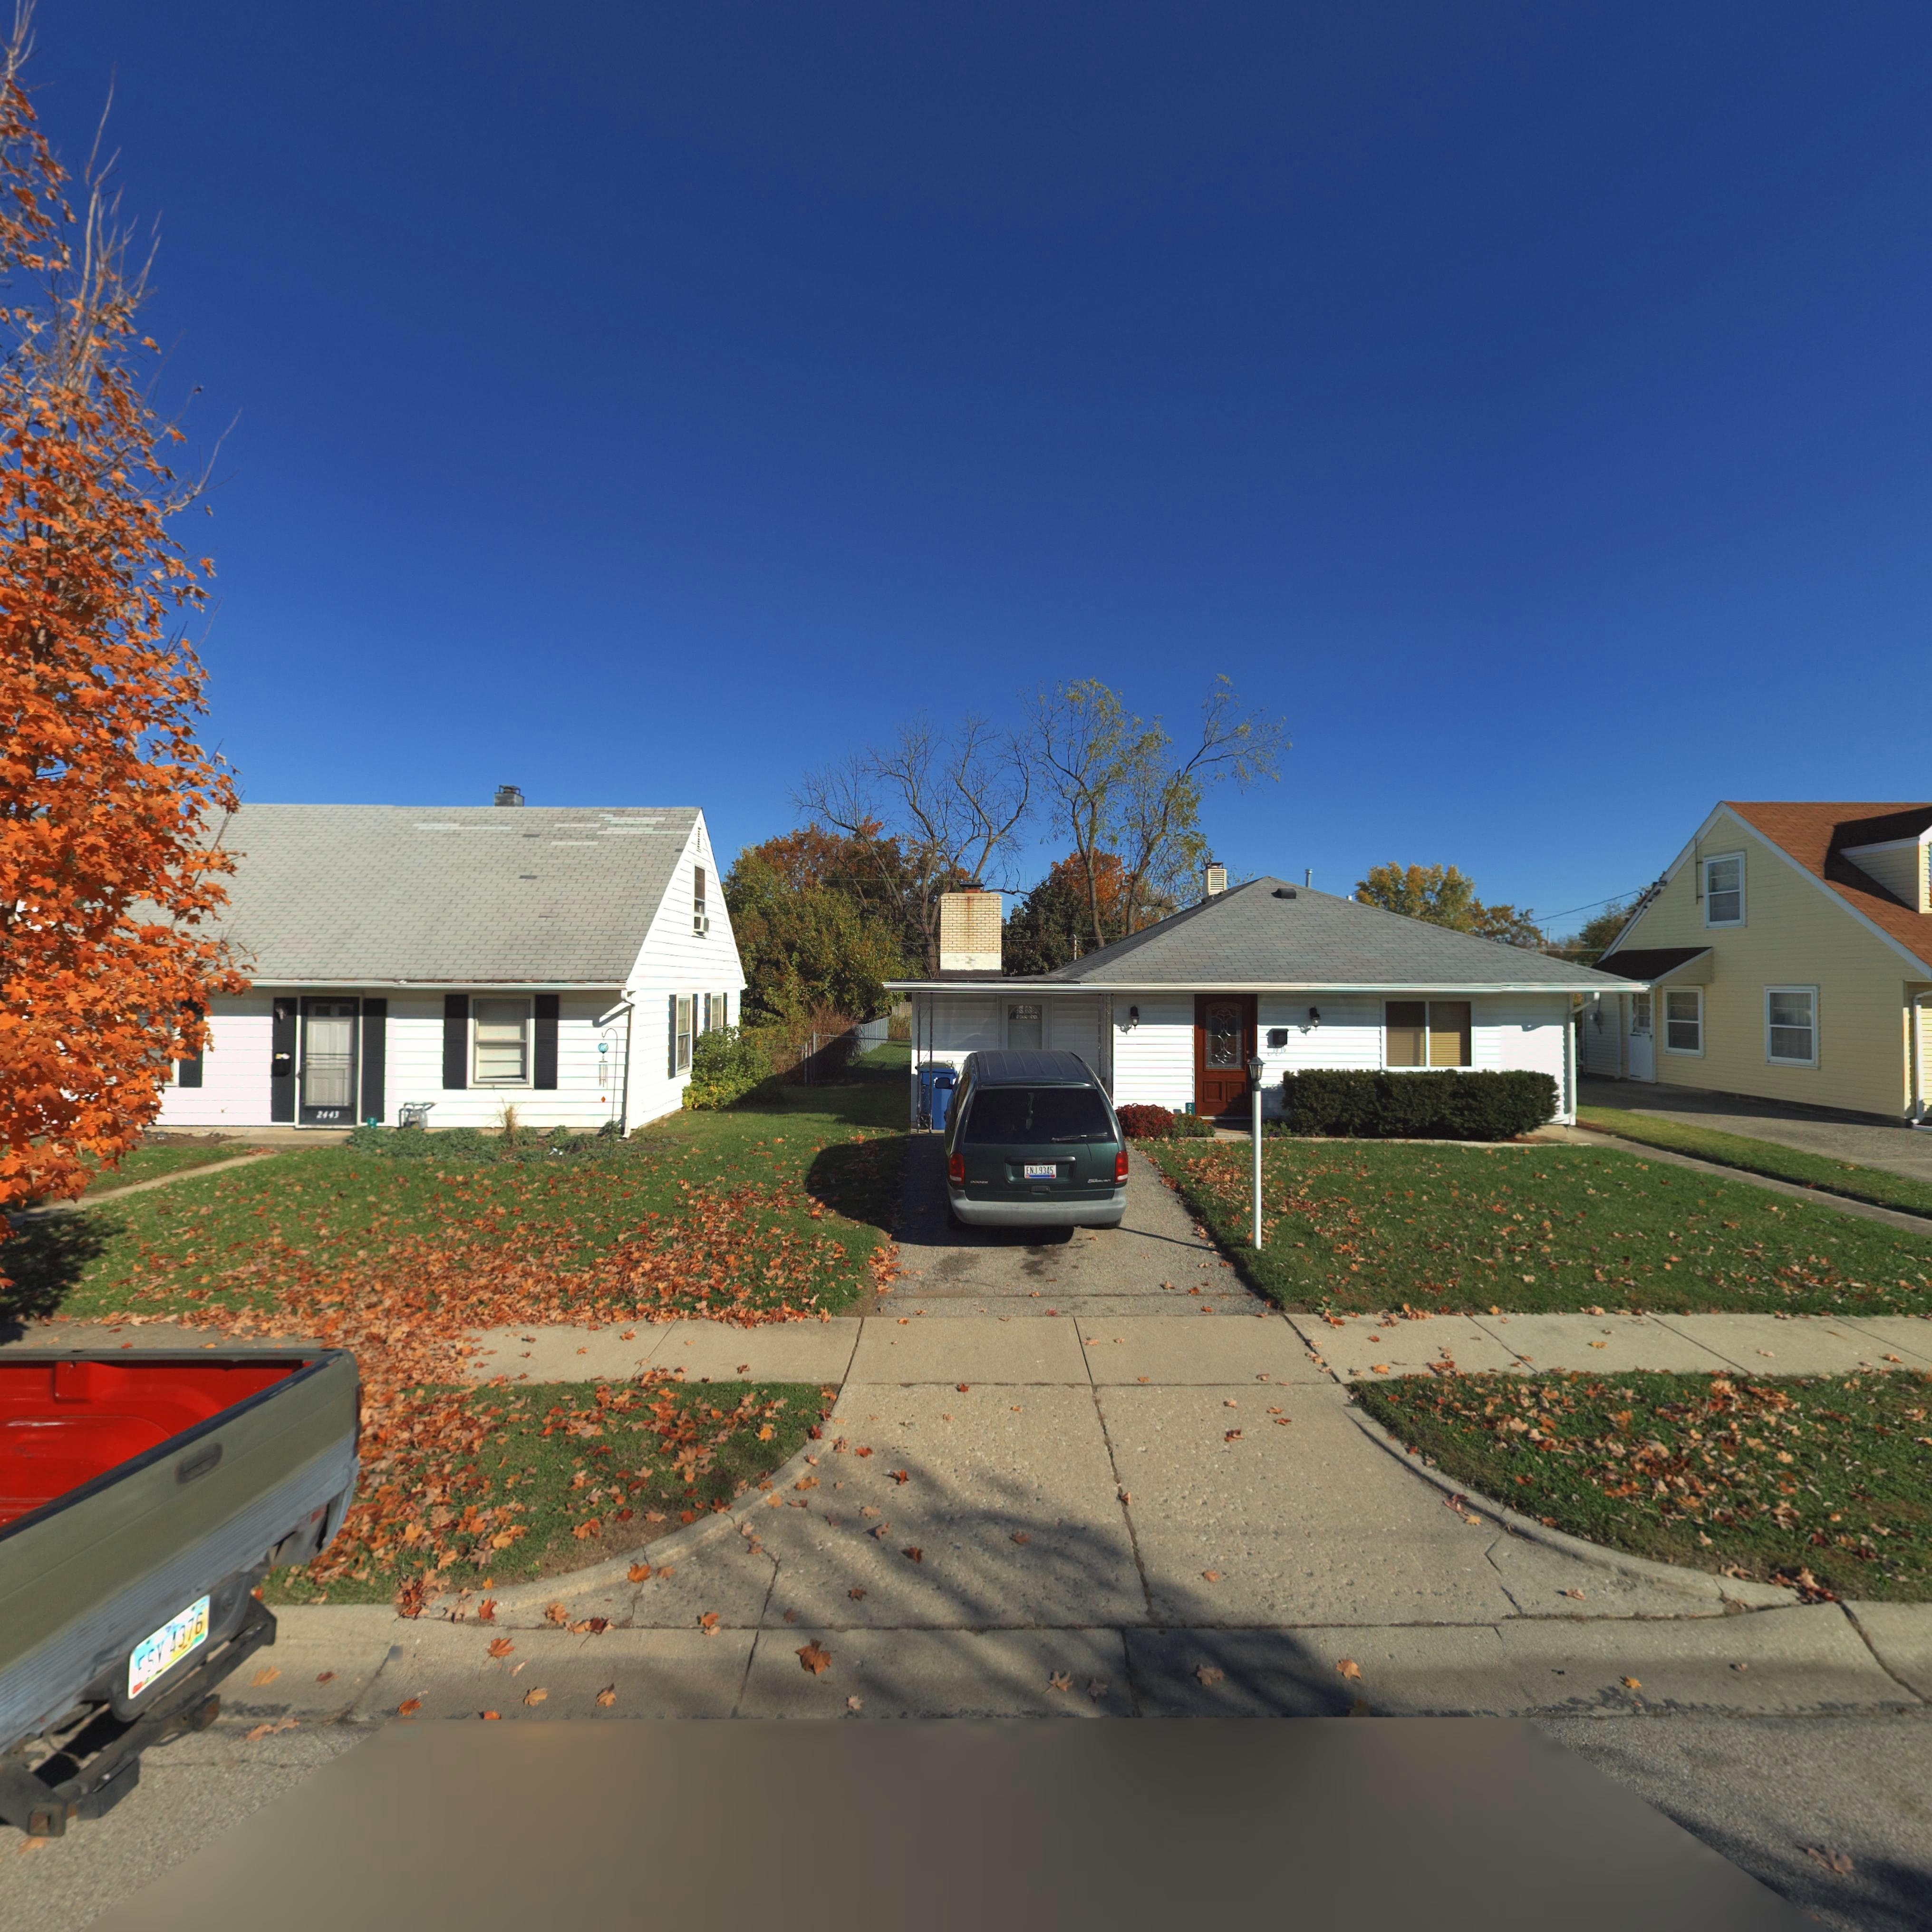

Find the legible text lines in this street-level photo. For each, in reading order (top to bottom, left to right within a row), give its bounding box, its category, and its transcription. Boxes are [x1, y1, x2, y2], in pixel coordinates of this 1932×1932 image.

[1187, 1103, 1193, 1111] StreetNumber: 2
[315, 1109, 341, 1119] StreetNumber: 2443
[368, 1117, 376, 1125] StreetNumber: 2